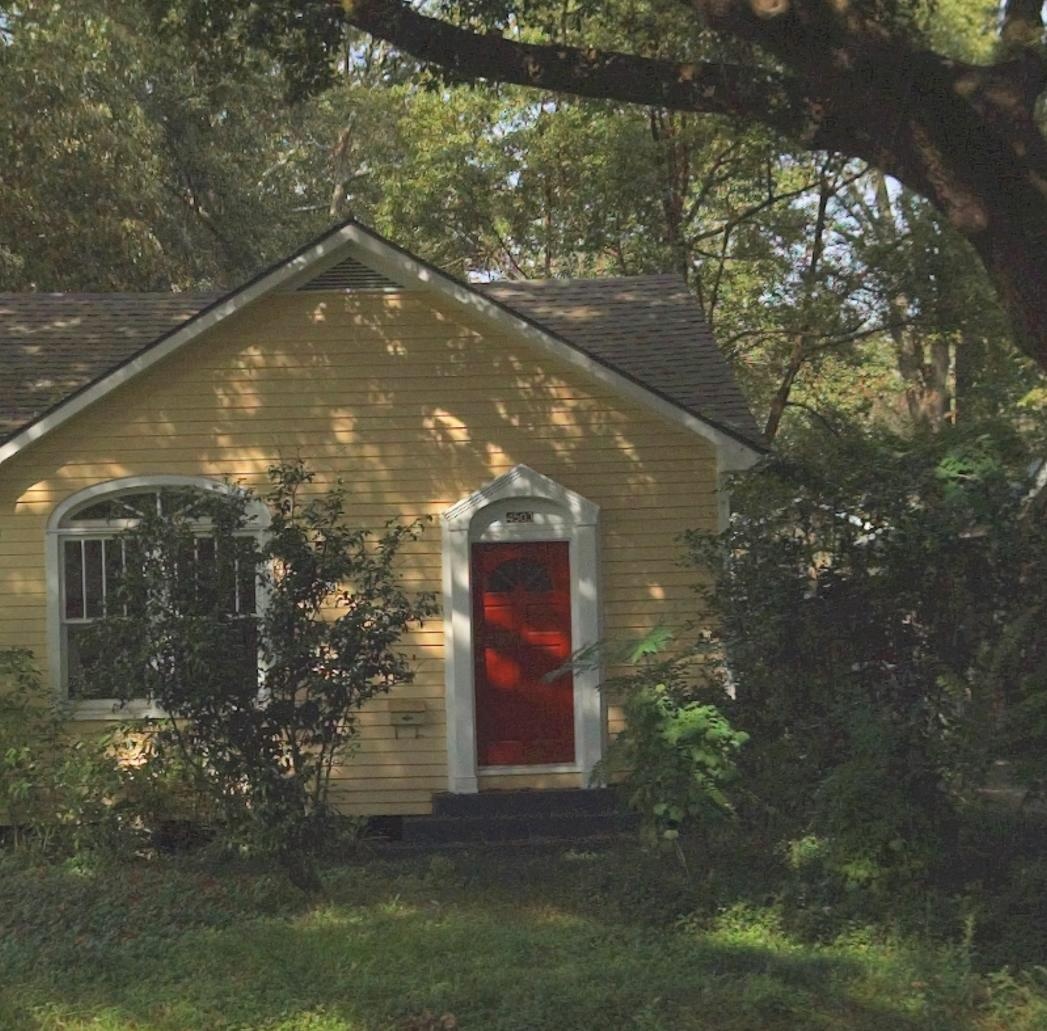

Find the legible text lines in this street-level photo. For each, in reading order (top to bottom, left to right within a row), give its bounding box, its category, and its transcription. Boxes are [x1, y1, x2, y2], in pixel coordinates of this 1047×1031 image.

[505, 510, 536, 525] StreetNumber: 450*